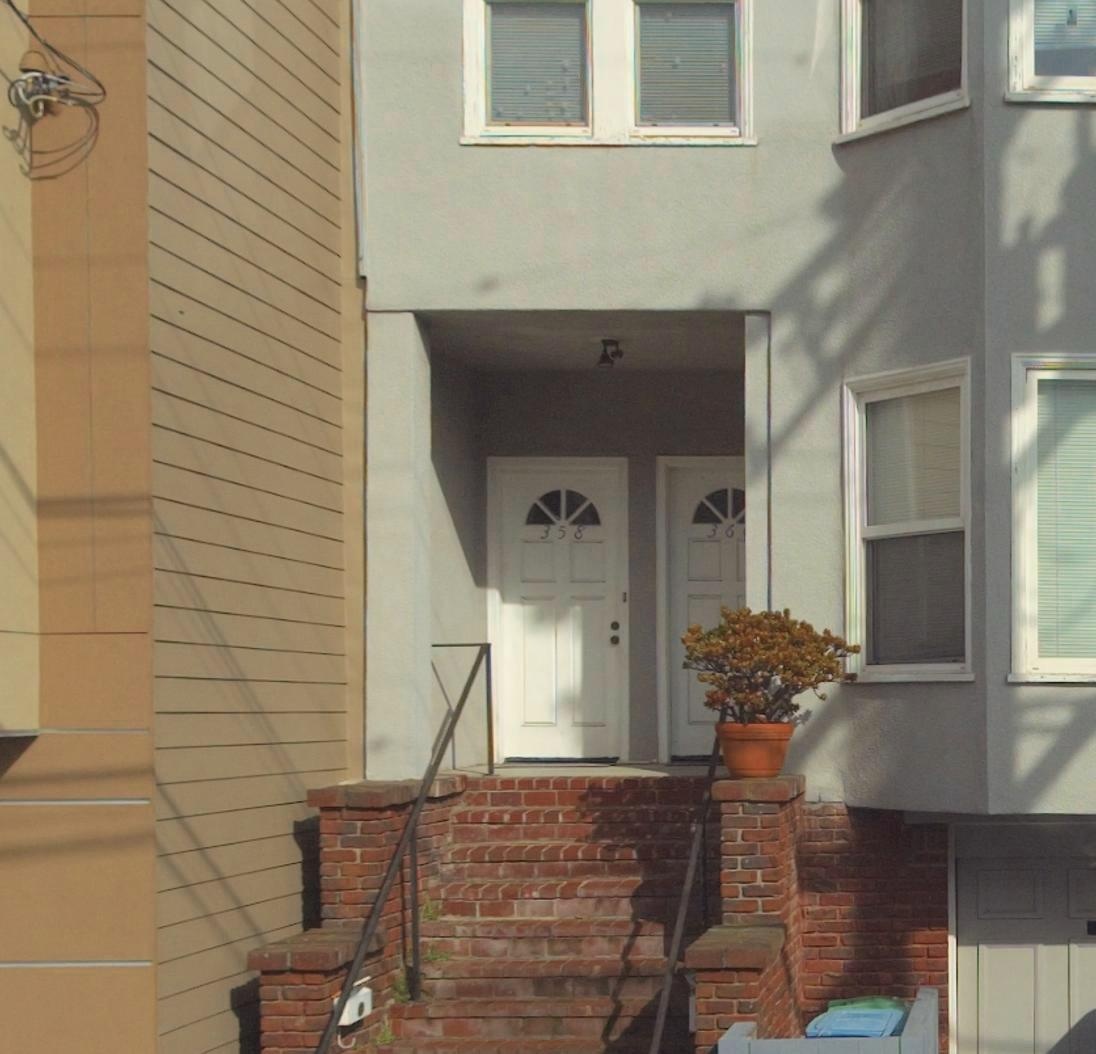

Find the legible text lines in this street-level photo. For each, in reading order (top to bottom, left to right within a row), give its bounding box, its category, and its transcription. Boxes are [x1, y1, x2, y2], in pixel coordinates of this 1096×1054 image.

[538, 524, 588, 541] StreetNumber: 358
[704, 523, 736, 539] StreetNumber: 36